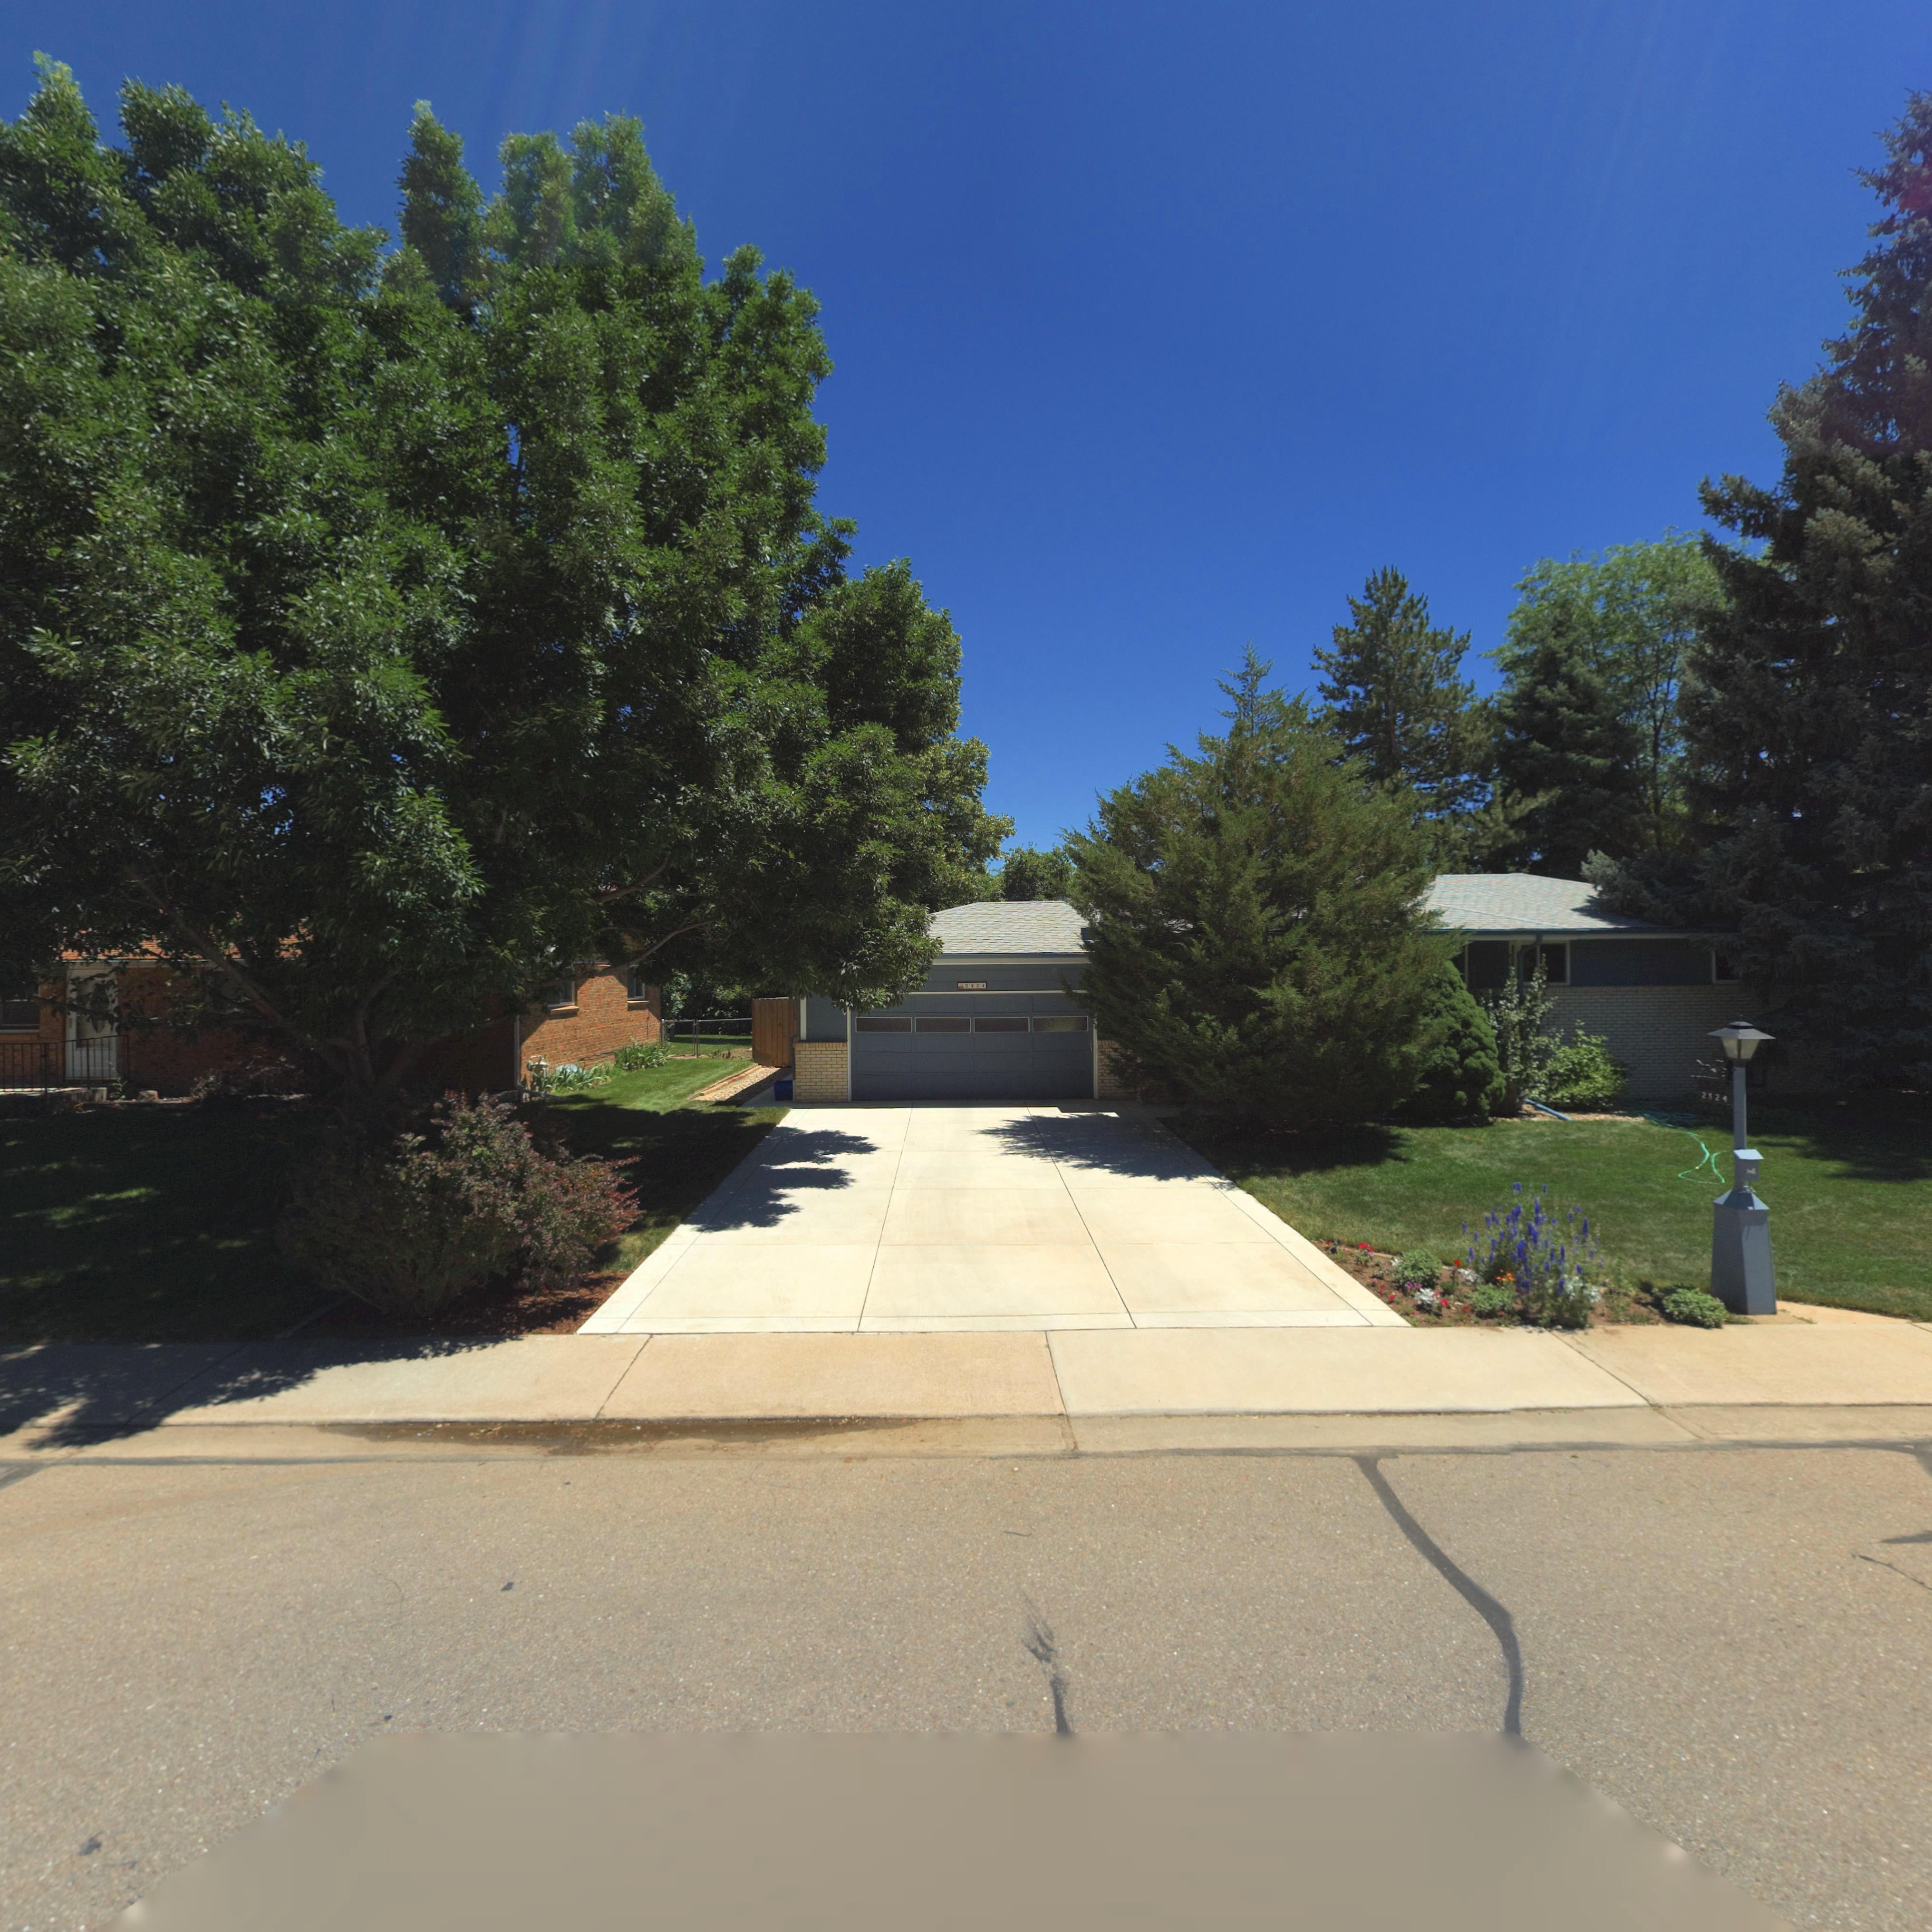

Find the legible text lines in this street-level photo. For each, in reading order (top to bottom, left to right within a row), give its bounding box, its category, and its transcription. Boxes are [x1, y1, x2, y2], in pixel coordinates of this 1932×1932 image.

[964, 983, 985, 988] StreetNumber: 2324
[1700, 1091, 1728, 1103] StreetNumber: 2324